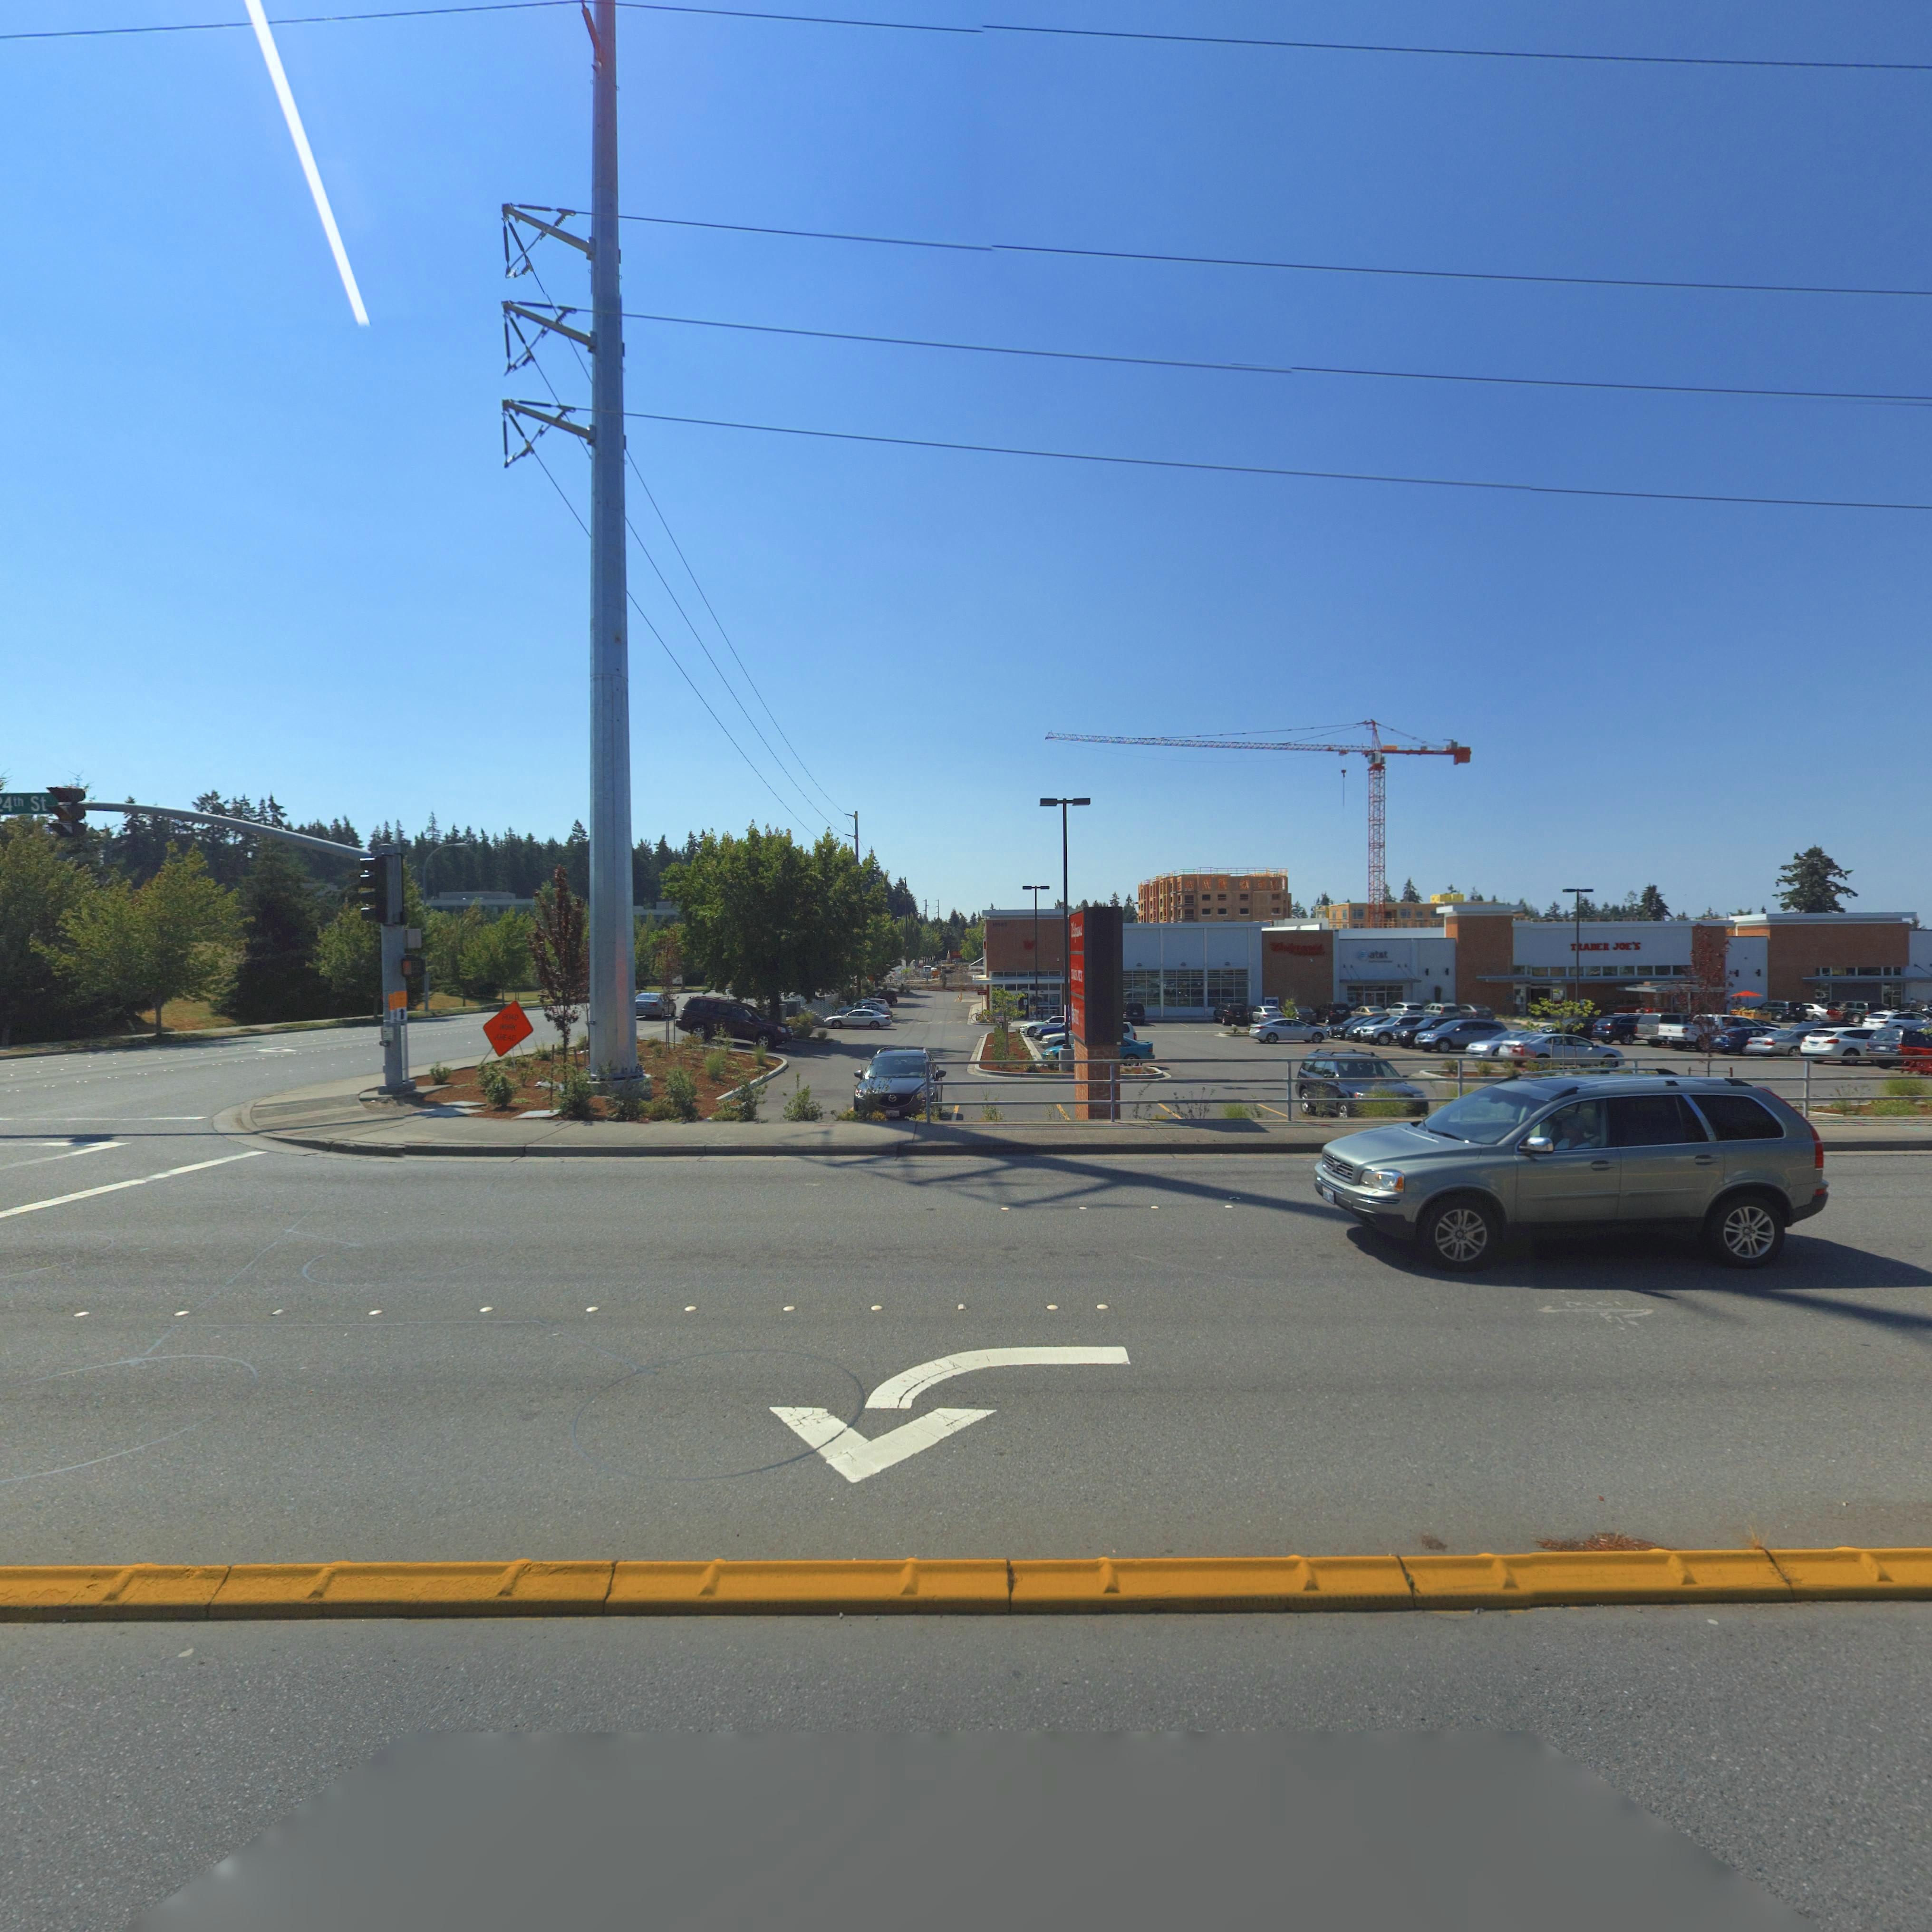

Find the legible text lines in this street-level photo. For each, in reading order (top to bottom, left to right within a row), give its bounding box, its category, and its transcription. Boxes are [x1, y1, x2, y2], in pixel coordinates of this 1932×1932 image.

[2, 796, 46, 811] StreetName: 4th St
[1570, 941, 1641, 951] BusinessName: T*ADER JOE*S